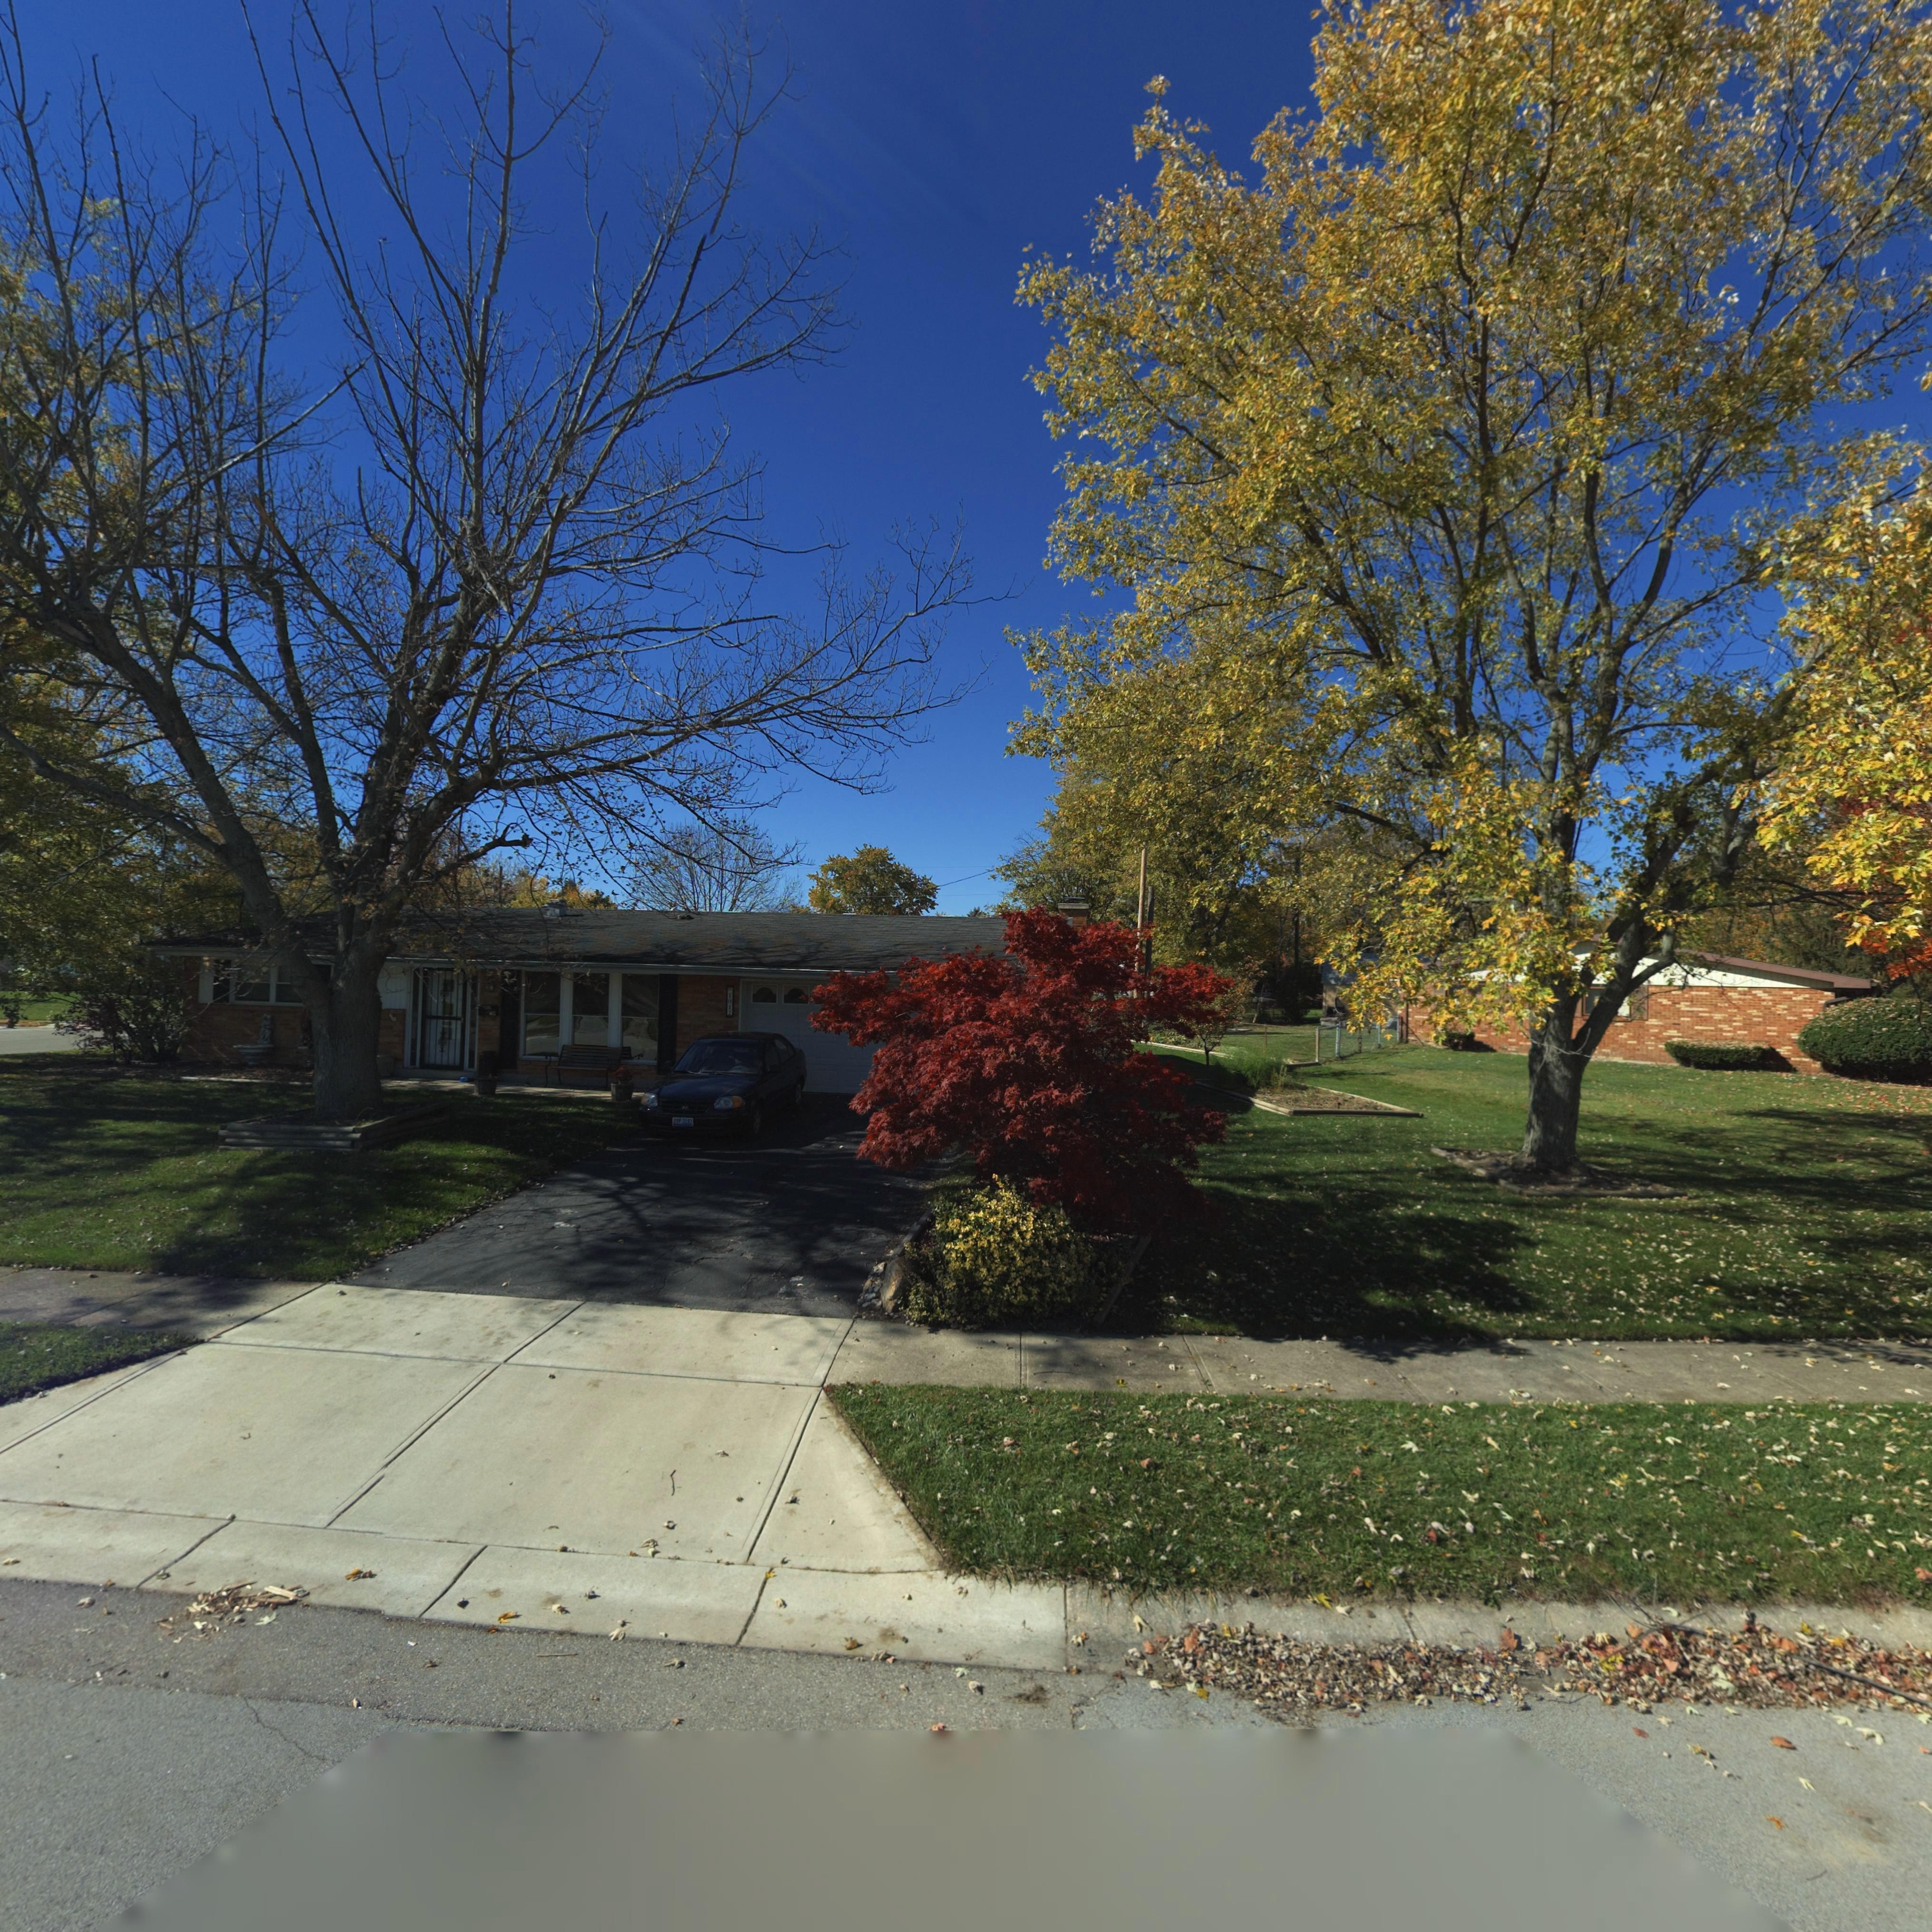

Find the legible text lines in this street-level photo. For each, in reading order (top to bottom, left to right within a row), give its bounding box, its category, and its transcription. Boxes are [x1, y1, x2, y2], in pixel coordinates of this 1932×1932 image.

[727, 992, 732, 1016] StreetNumber: 1012